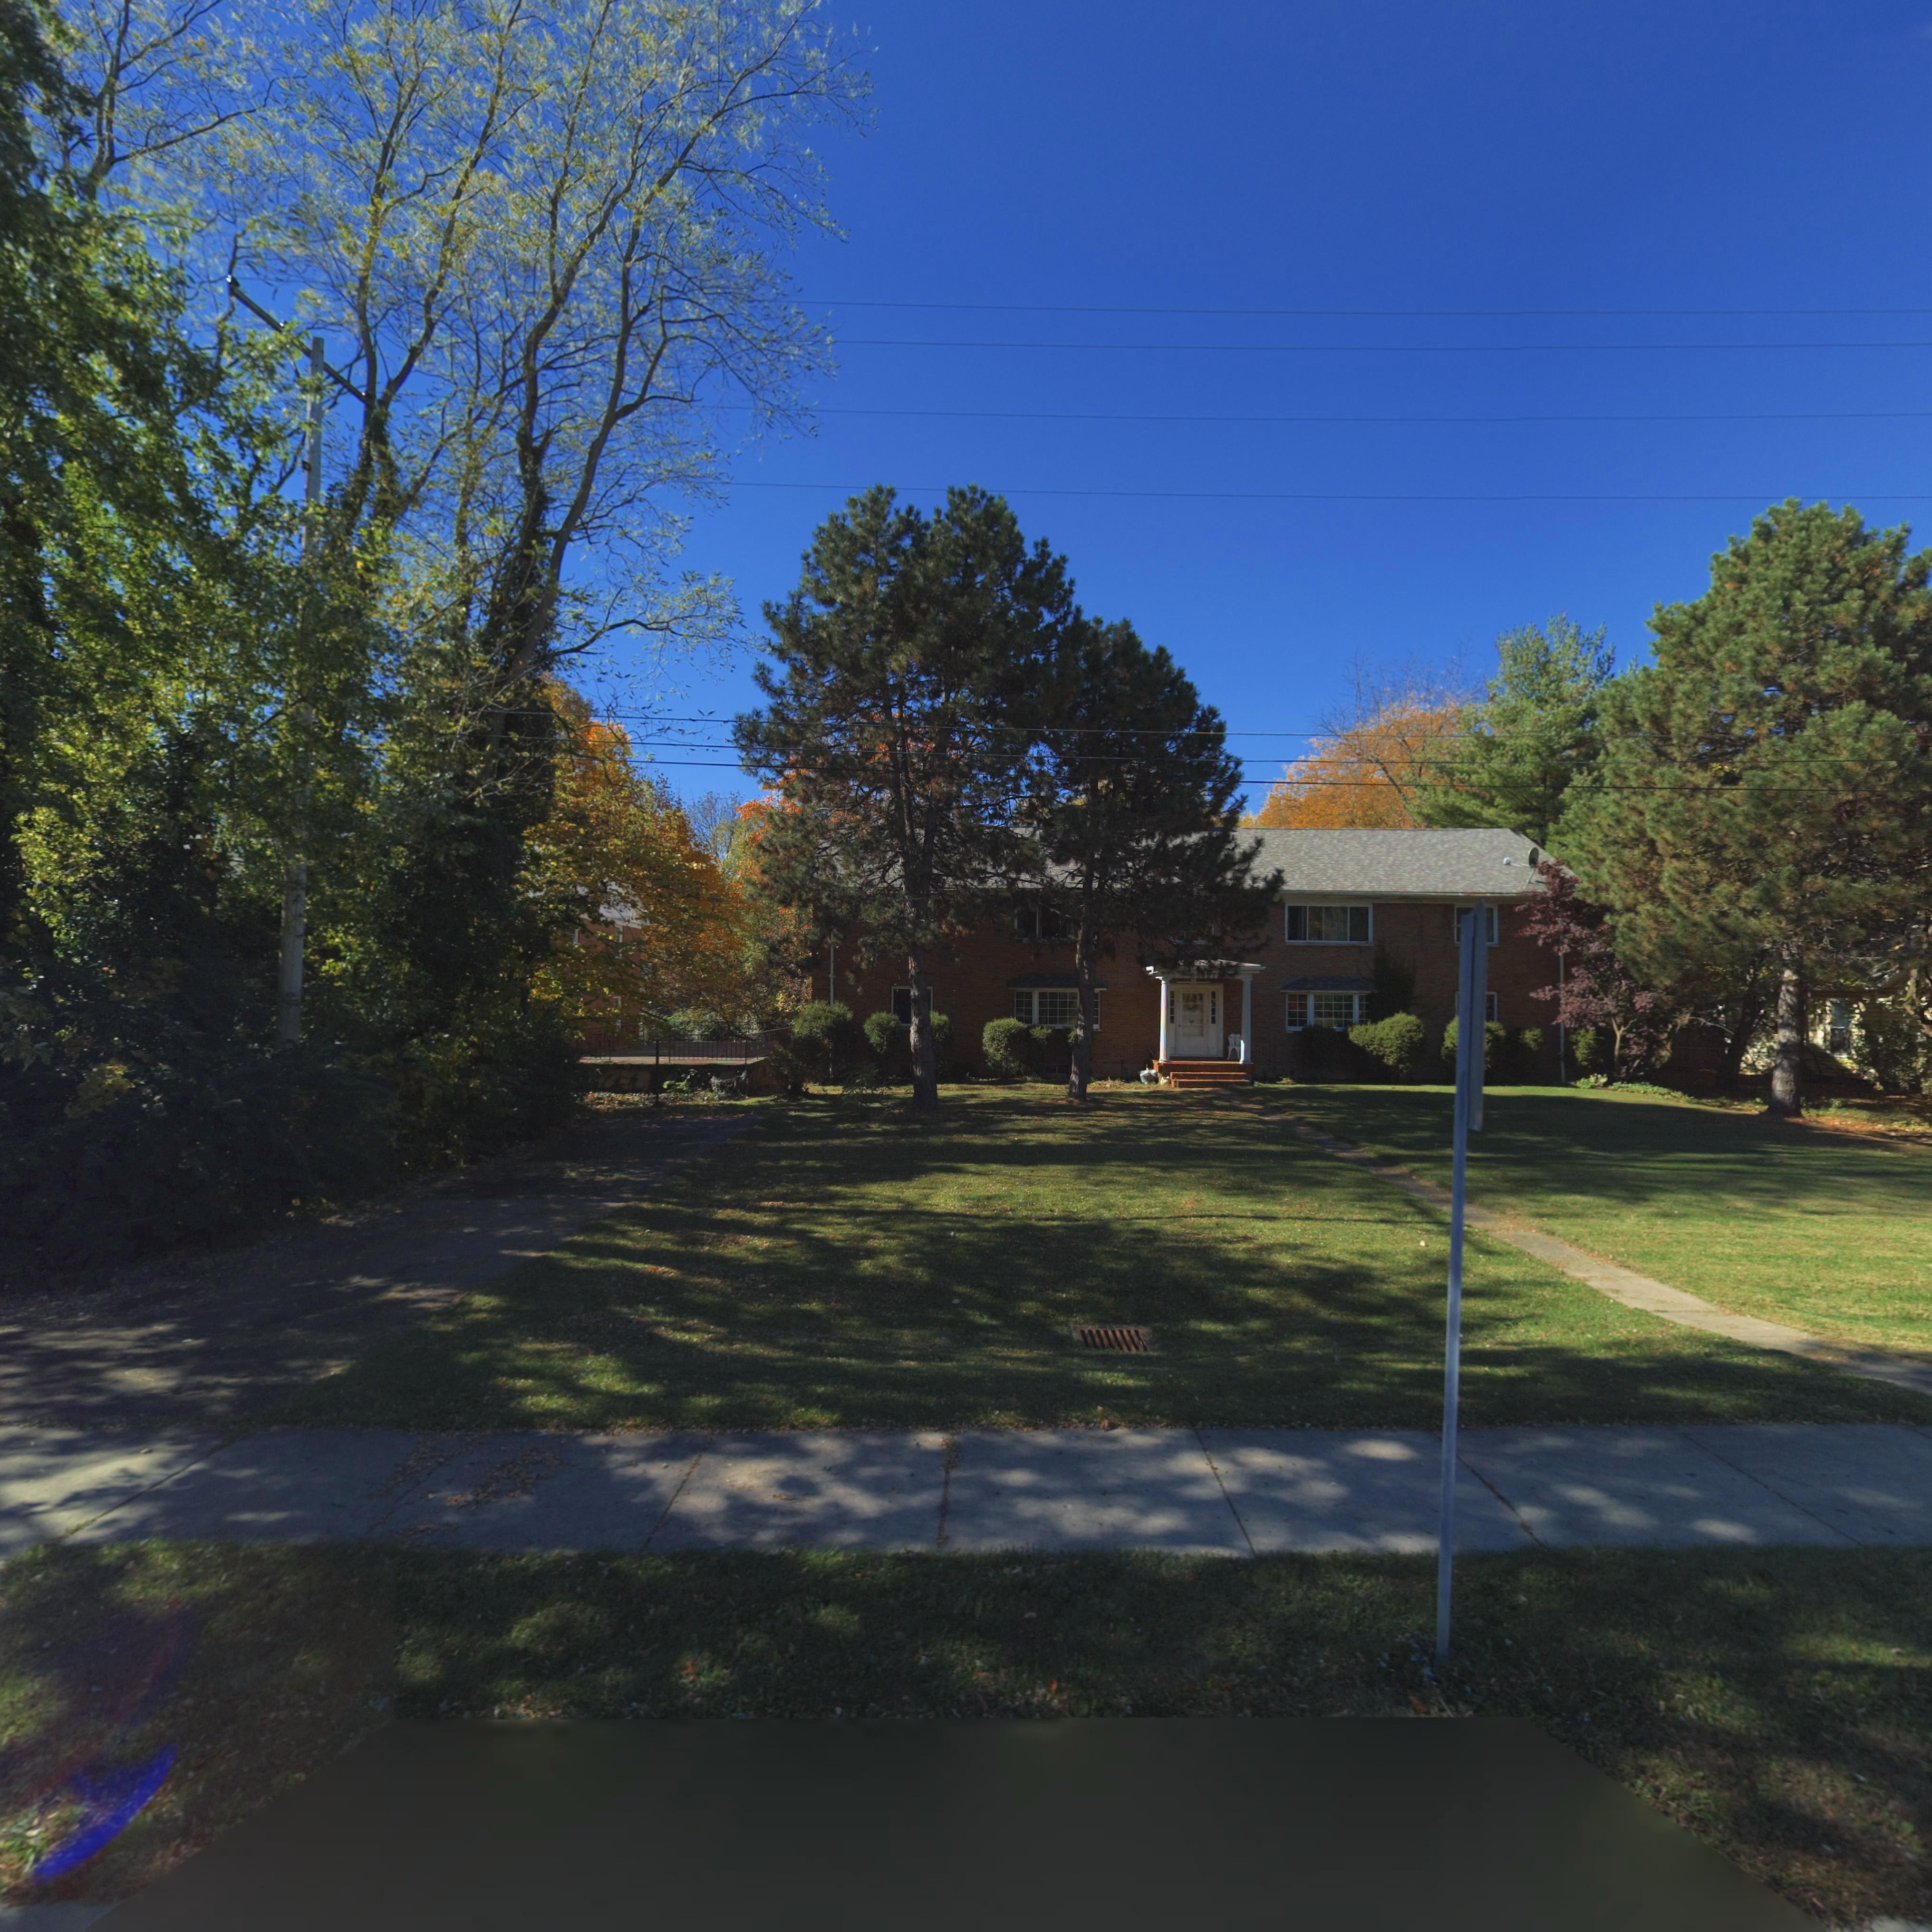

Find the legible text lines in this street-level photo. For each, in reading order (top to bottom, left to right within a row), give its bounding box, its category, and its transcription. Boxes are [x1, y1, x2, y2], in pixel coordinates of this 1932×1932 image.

[1195, 972, 1216, 979] StreetNumber: 5027